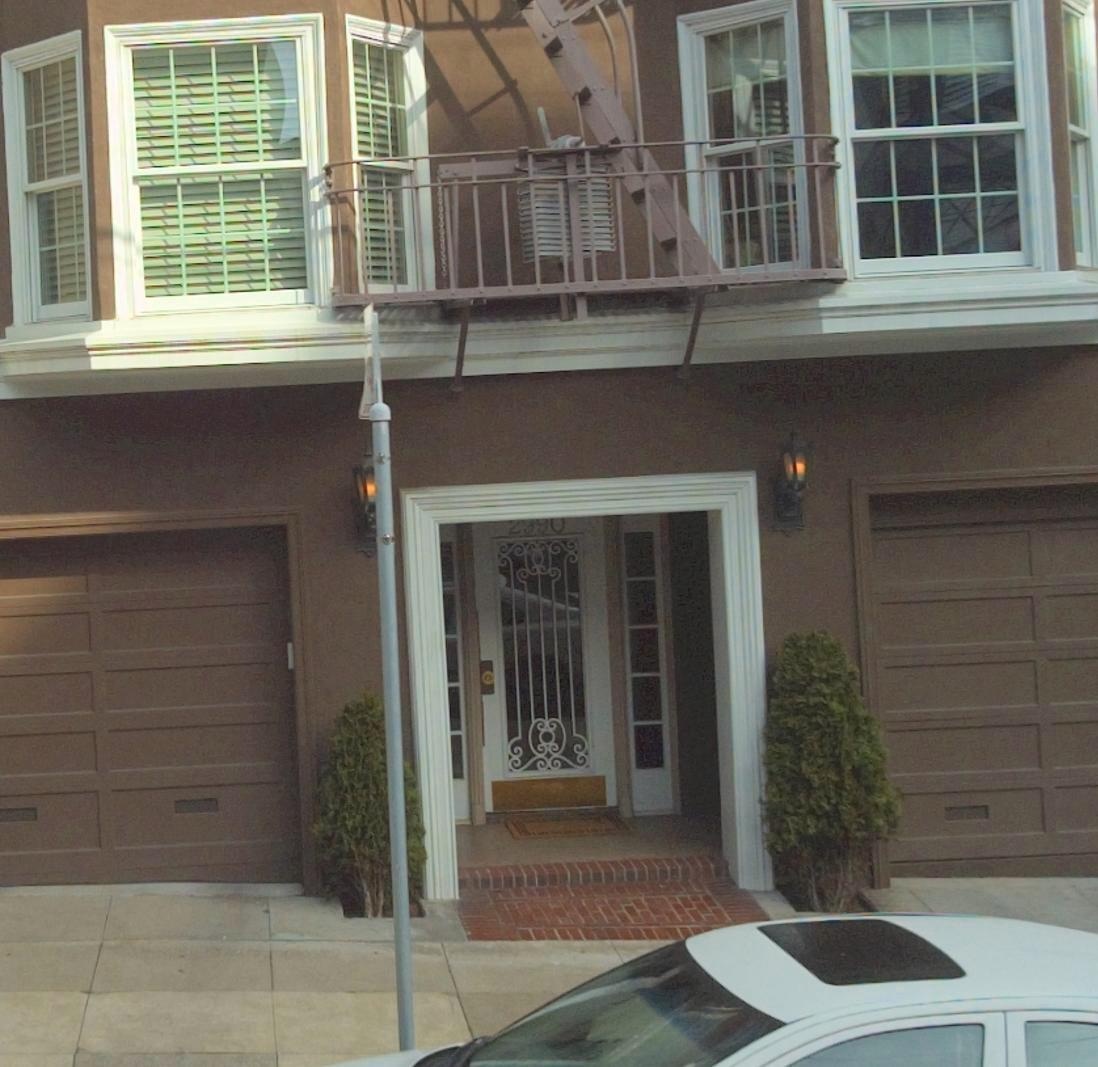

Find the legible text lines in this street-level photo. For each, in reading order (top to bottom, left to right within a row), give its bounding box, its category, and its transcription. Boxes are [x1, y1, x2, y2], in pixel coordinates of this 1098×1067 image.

[506, 514, 567, 536] StreetNumber: 2990